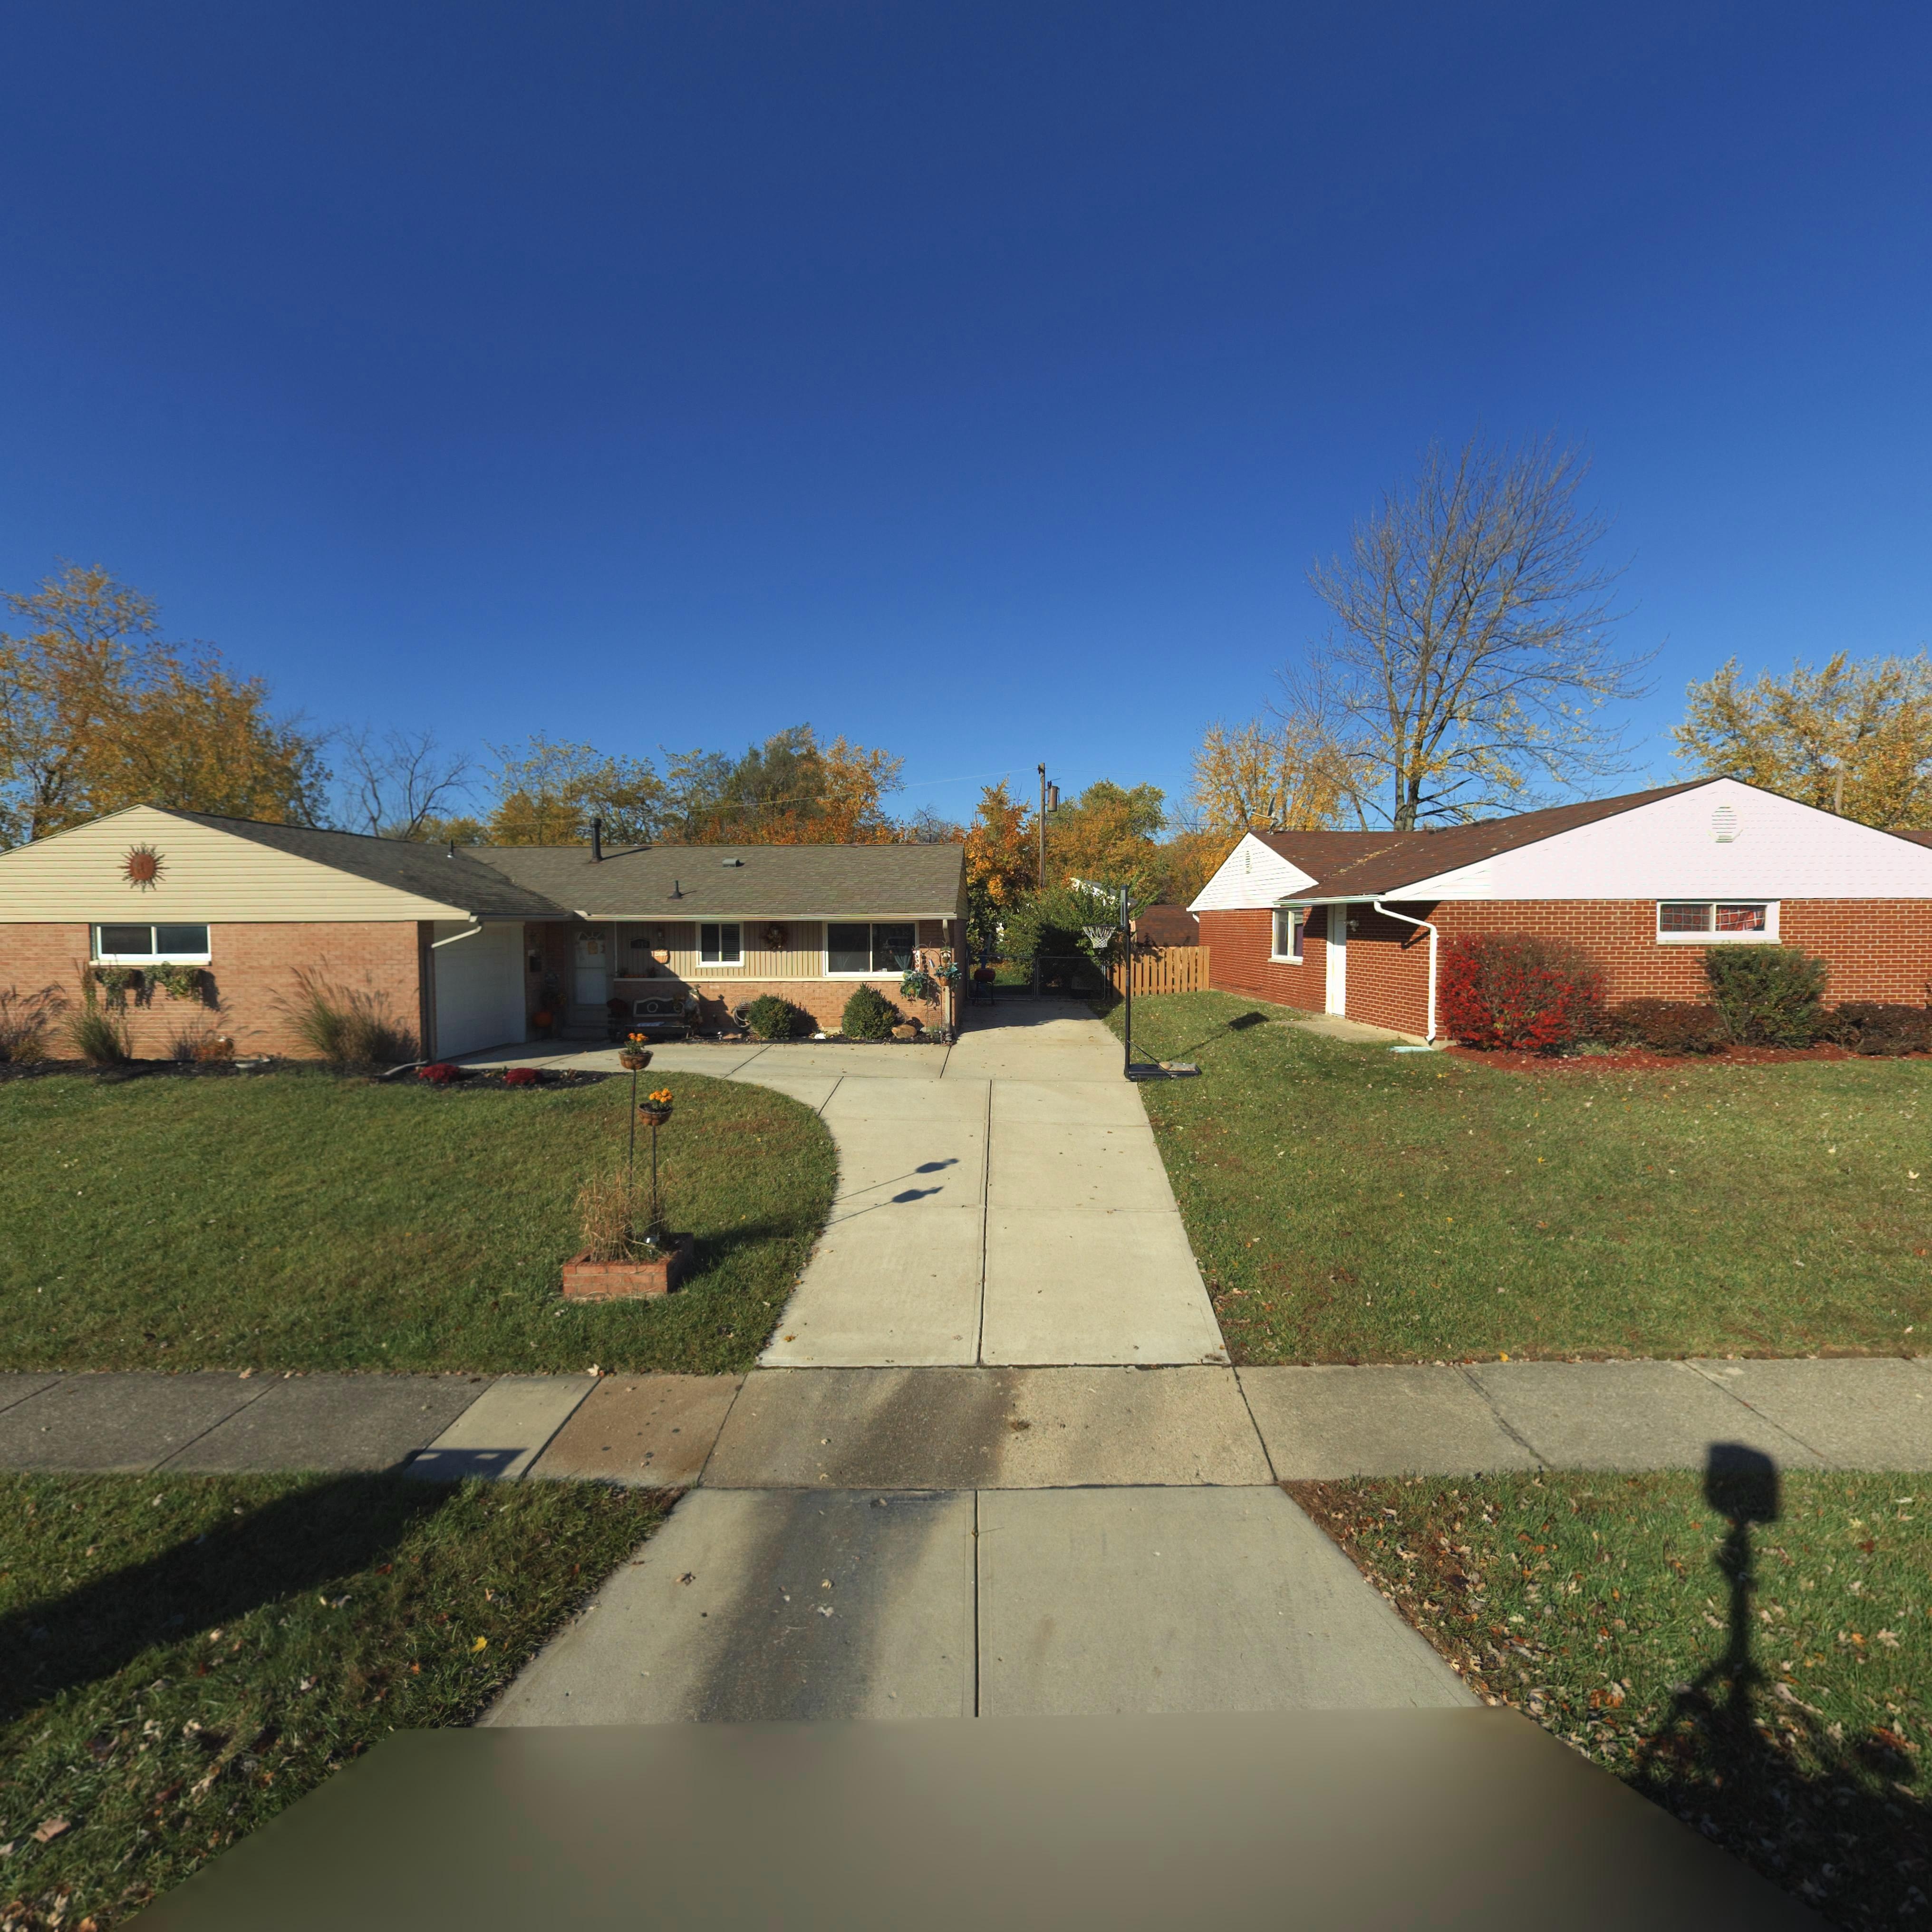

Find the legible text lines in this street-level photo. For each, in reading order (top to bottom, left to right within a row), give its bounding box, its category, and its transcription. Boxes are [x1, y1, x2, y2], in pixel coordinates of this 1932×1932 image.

[631, 940, 648, 949] StreetNumber: **1*